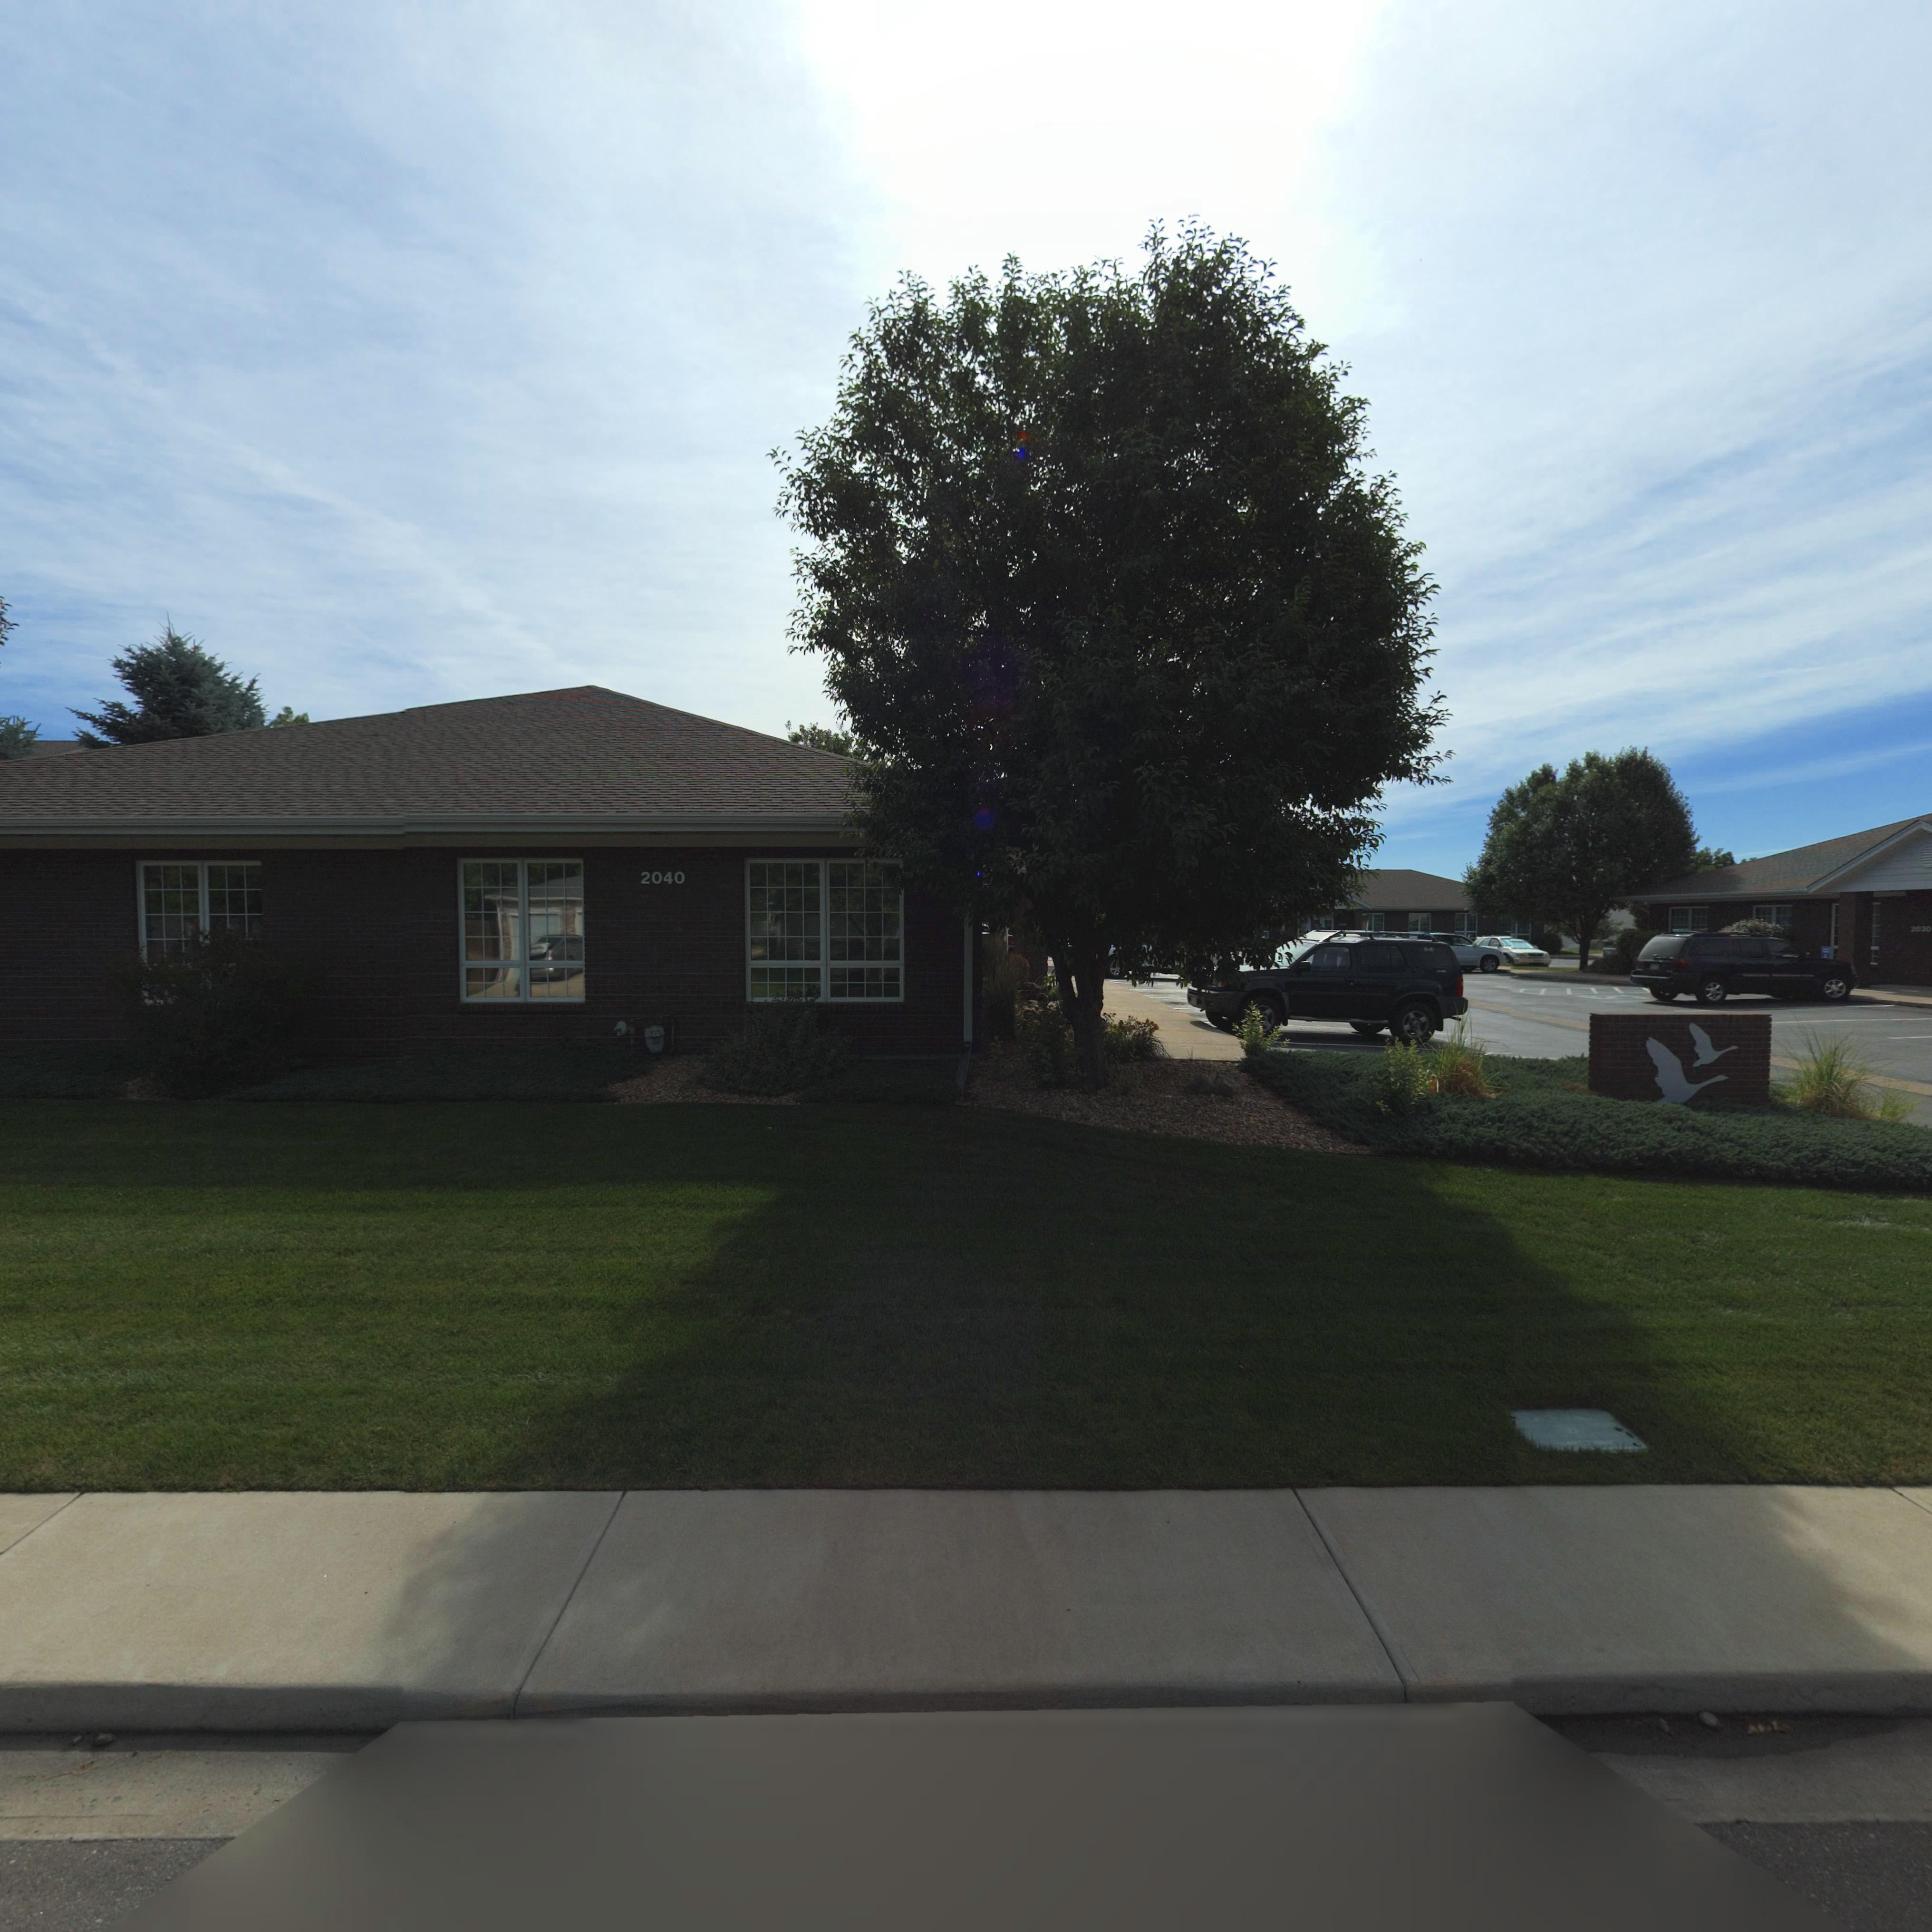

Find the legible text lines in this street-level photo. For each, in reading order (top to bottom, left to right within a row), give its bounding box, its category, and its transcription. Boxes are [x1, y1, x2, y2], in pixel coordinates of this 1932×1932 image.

[640, 870, 686, 884] StreetNumber: 2040
[1910, 925, 1931, 932] StreetNumber: 2030